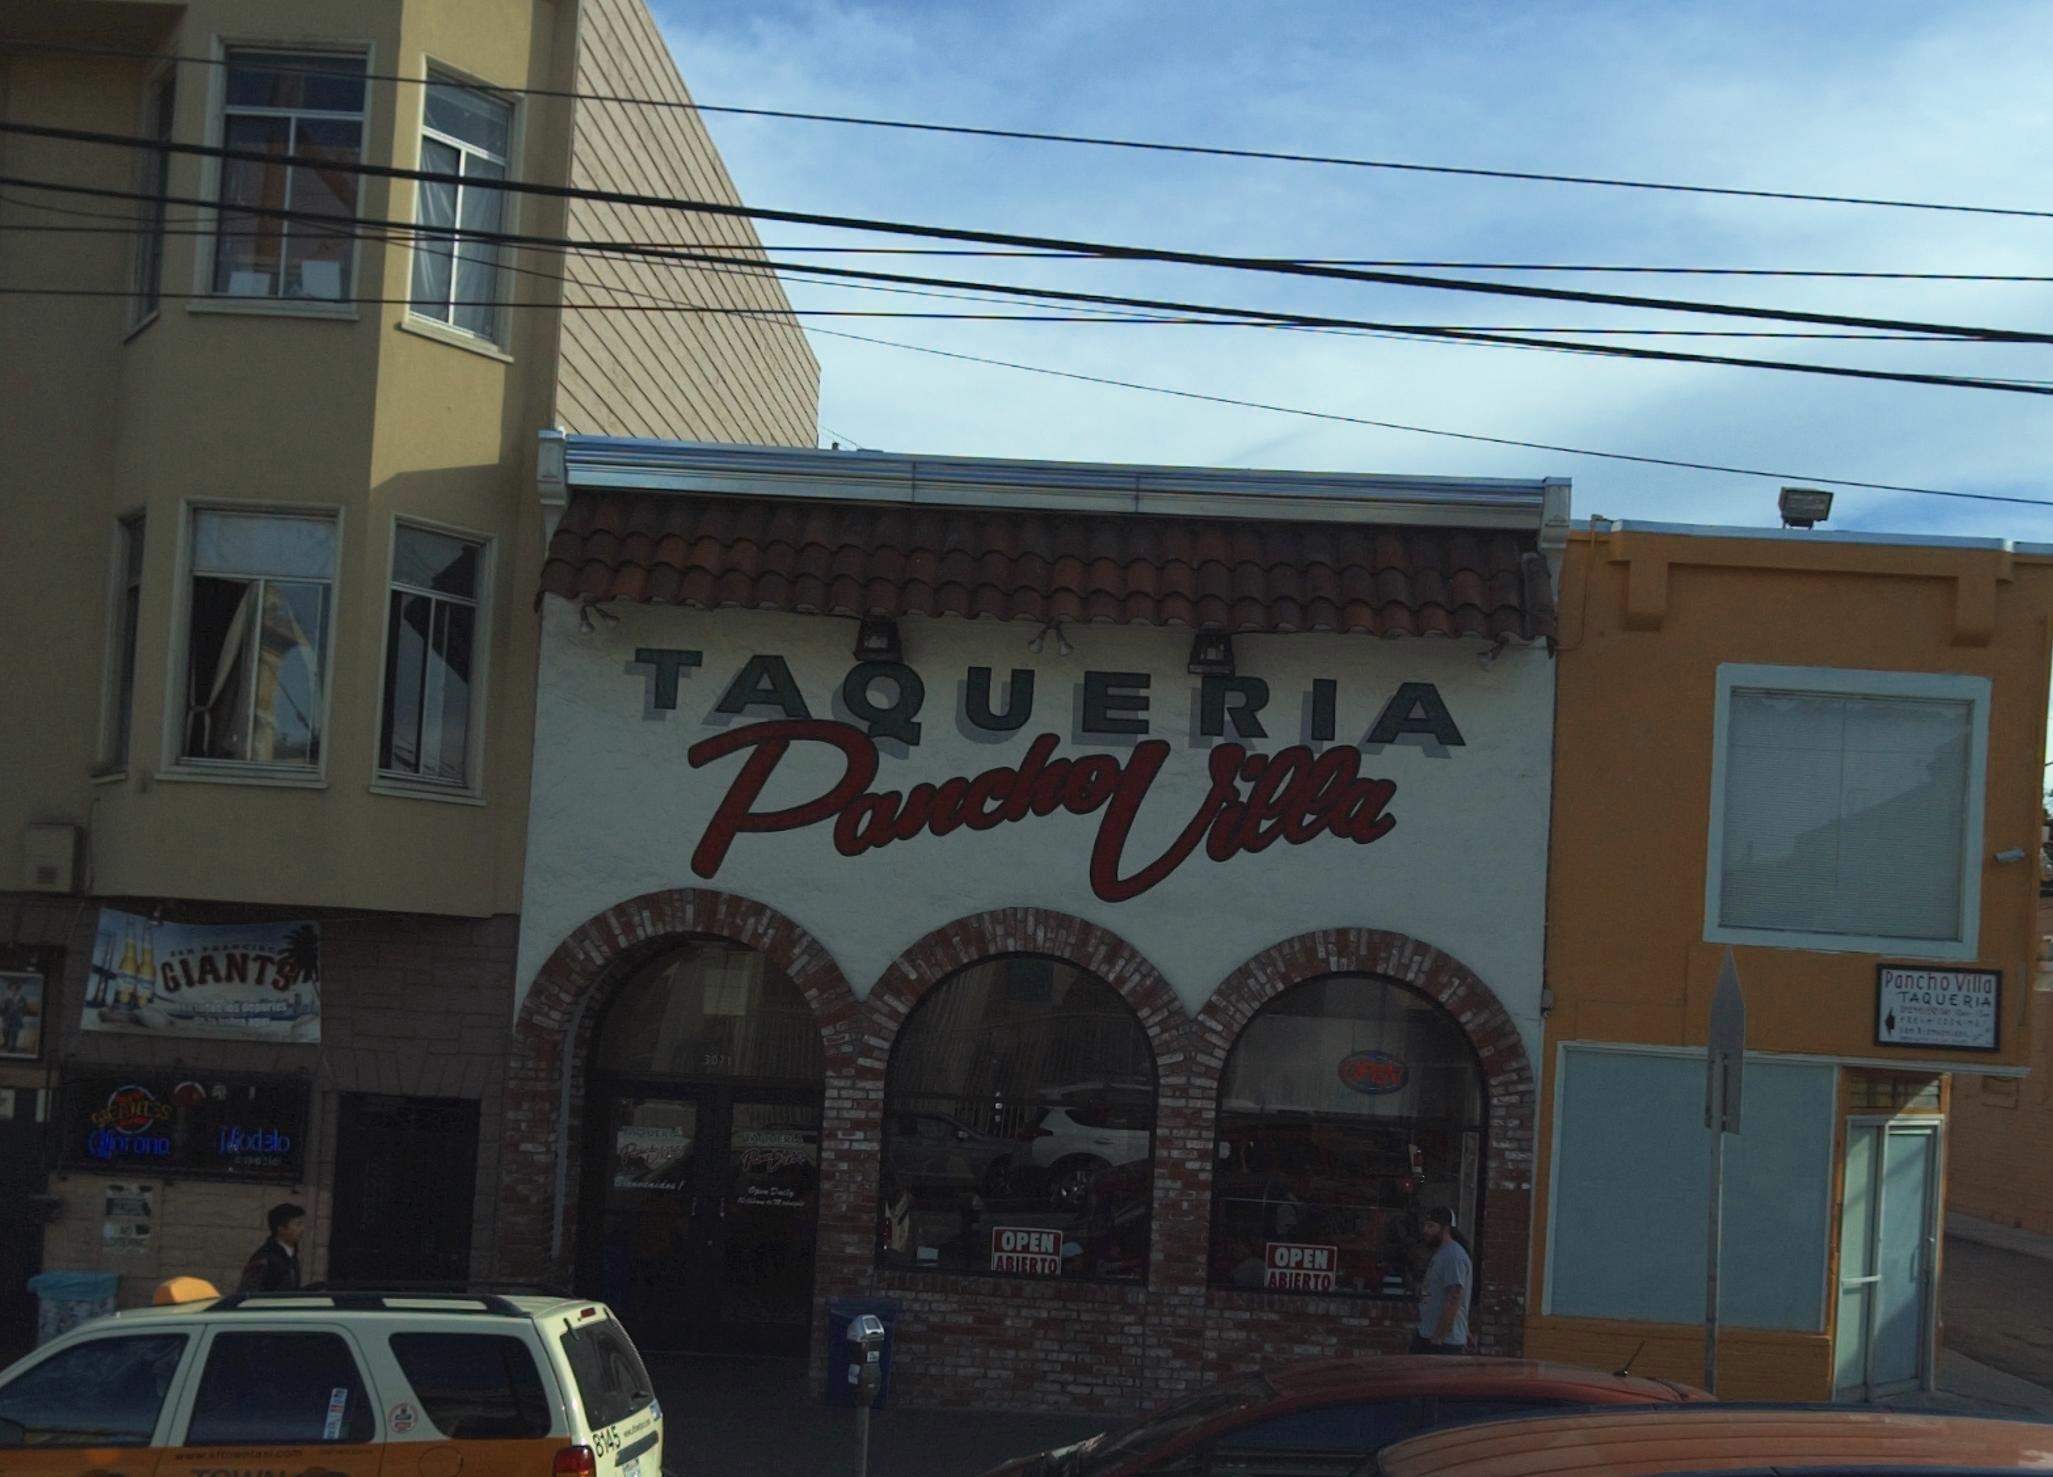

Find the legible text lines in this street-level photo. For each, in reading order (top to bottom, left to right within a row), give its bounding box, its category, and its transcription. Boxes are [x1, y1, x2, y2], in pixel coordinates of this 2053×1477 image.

[628, 640, 1481, 757] BusinessName: TAQUERIA
[675, 711, 1408, 912] BusinessName: Pancho Villa
[153, 945, 307, 998] None: GIANTS
[1882, 966, 1996, 996] BusinessName: Pancho Villa
[1895, 989, 1995, 1011] BusinessName: TAQUERIA
[700, 1051, 736, 1069] StreetNumber: 3071
[1339, 1056, 1410, 1089] None: OPEN
[87, 1123, 176, 1162] None: Corona
[998, 1227, 1059, 1256] None: OPEN
[992, 1252, 1061, 1278] None: ABIERTO
[1271, 1243, 1333, 1272] None: OPEN
[1264, 1268, 1334, 1294] None: ABIERTO
[584, 1420, 627, 1464] None: 8145